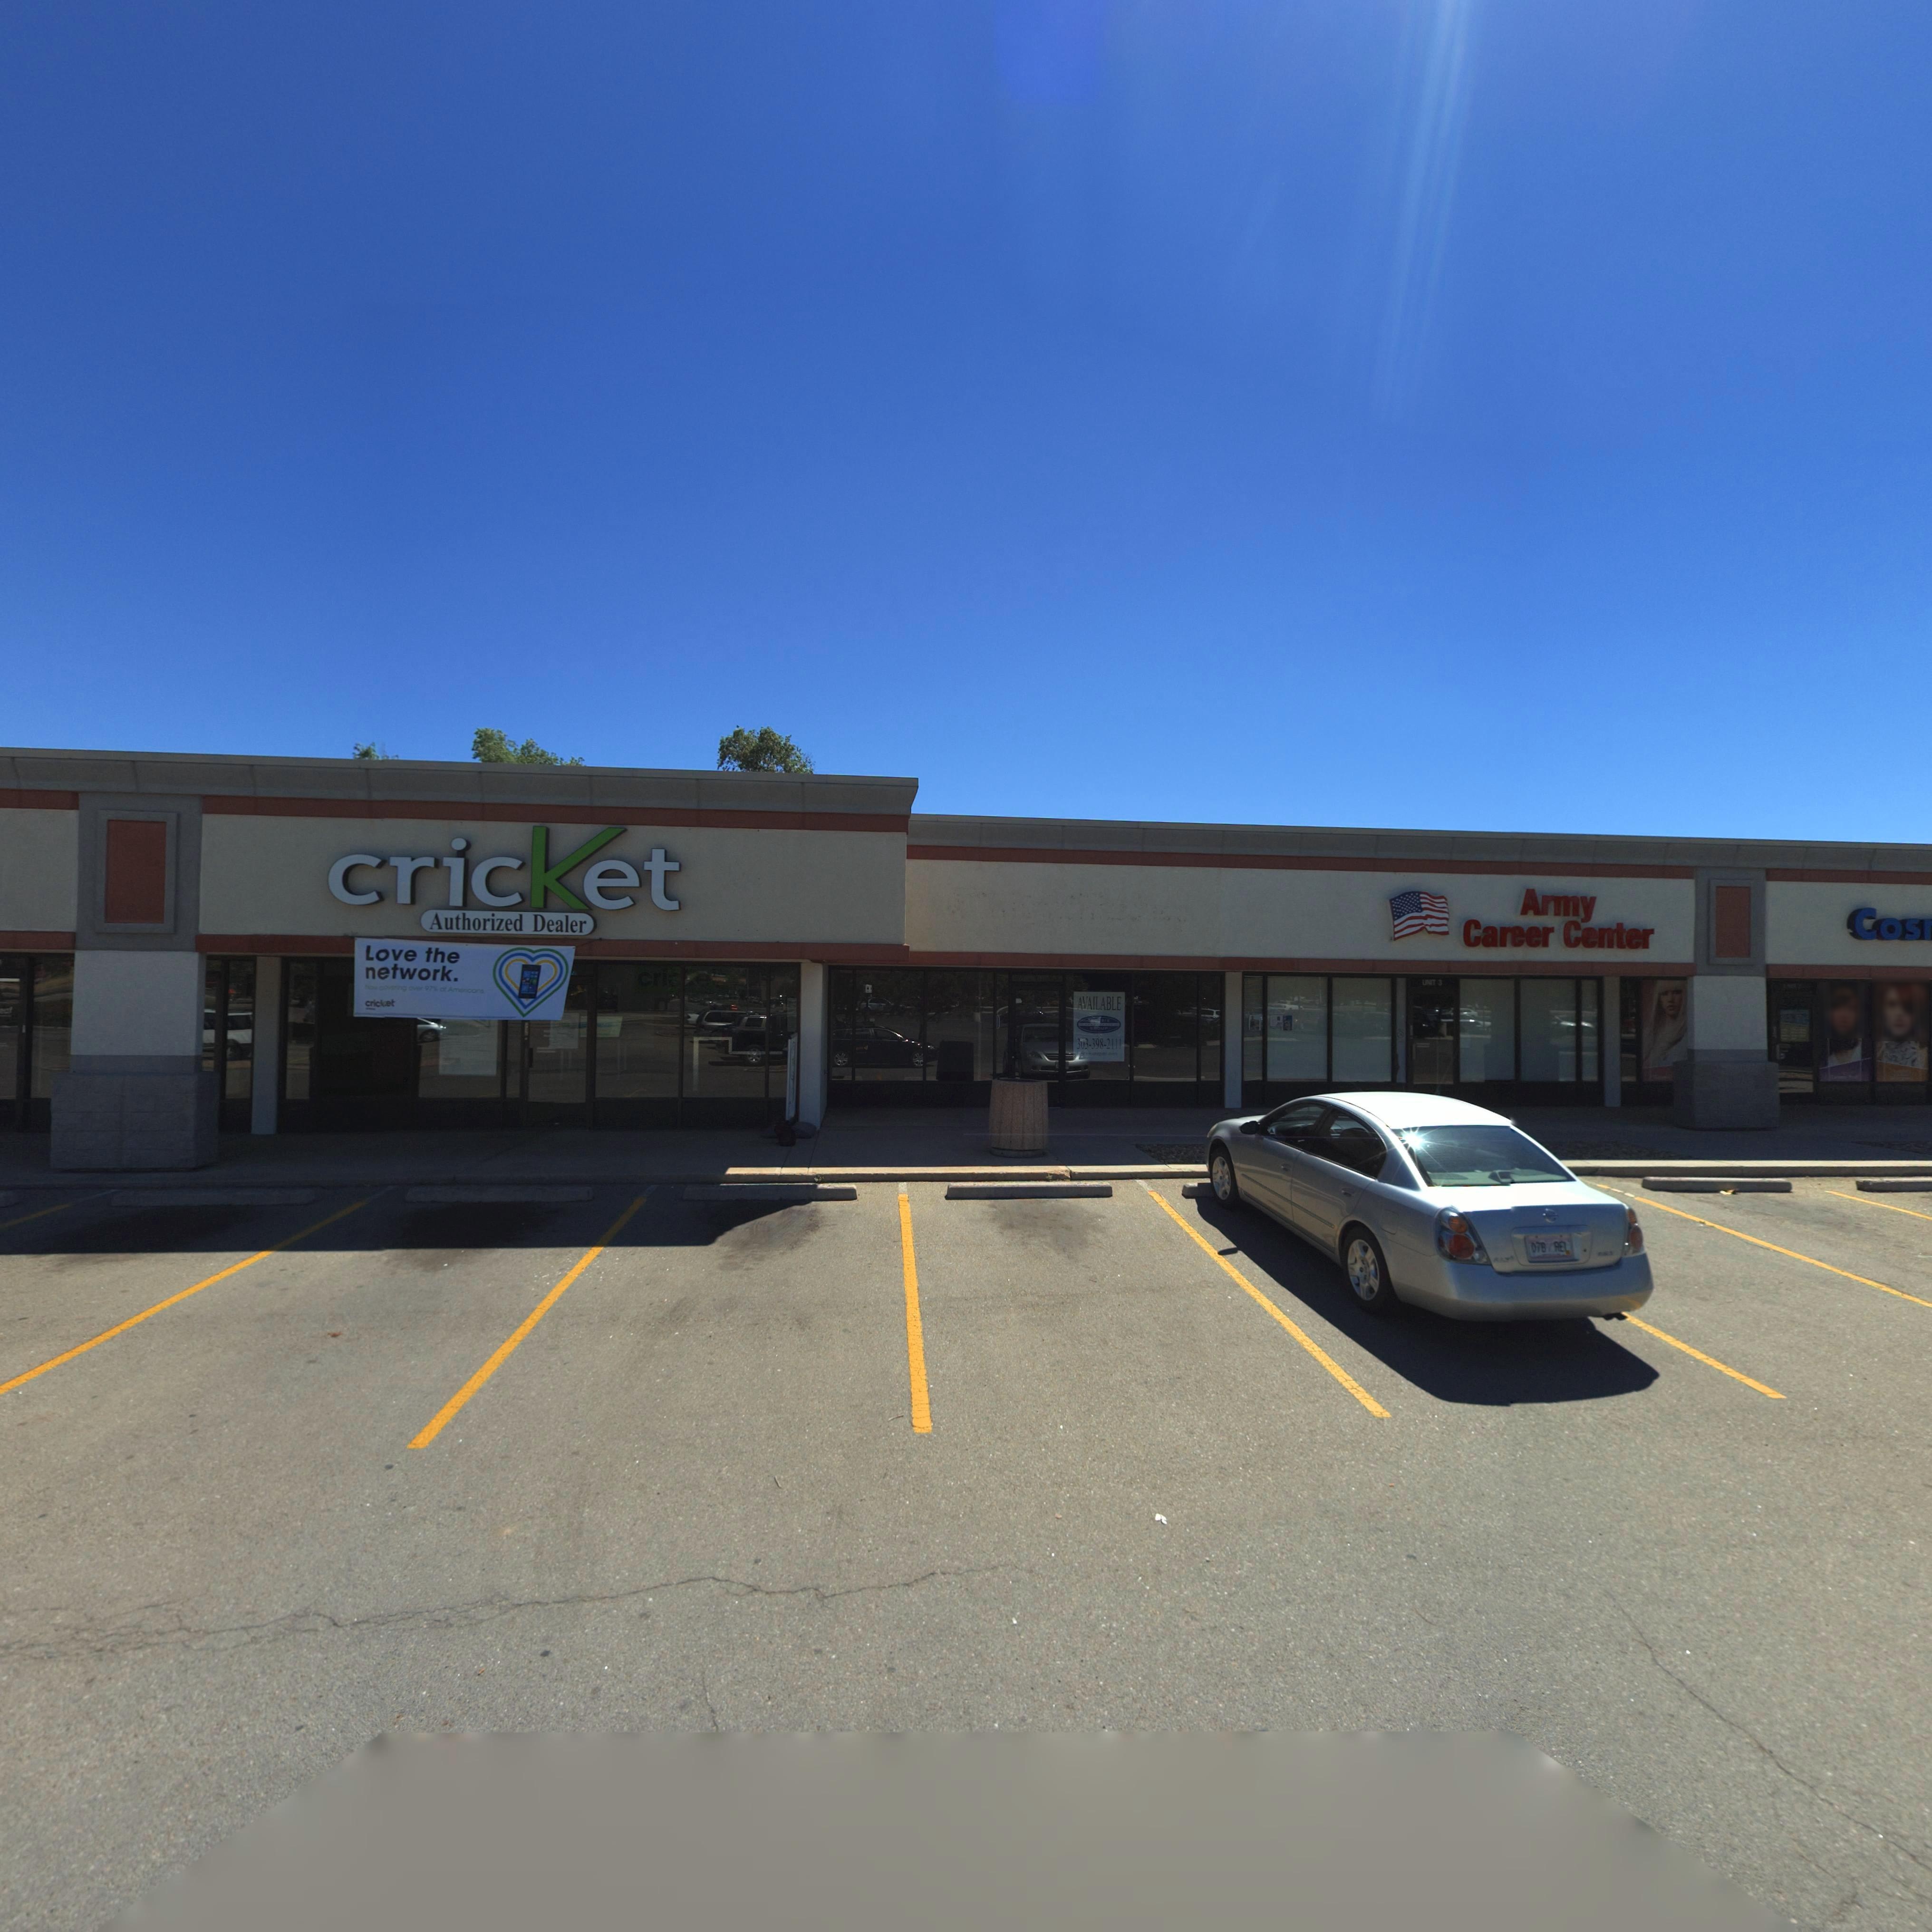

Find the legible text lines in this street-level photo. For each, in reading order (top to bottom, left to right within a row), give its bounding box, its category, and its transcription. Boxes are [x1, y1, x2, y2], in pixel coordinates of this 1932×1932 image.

[325, 825, 680, 912] BusinessName: cricket
[1519, 888, 1597, 923] BusinessName: Army
[1462, 919, 1655, 949] BusinessName: Career Center
[1855, 908, 1921, 940] BusinessName: Cos
[636, 965, 720, 989] BusinessName: cric*et
[1421, 978, 1443, 986] SecondaryUnitDesignator: UNIT 3
[364, 998, 396, 1007] BusinessName: cricket